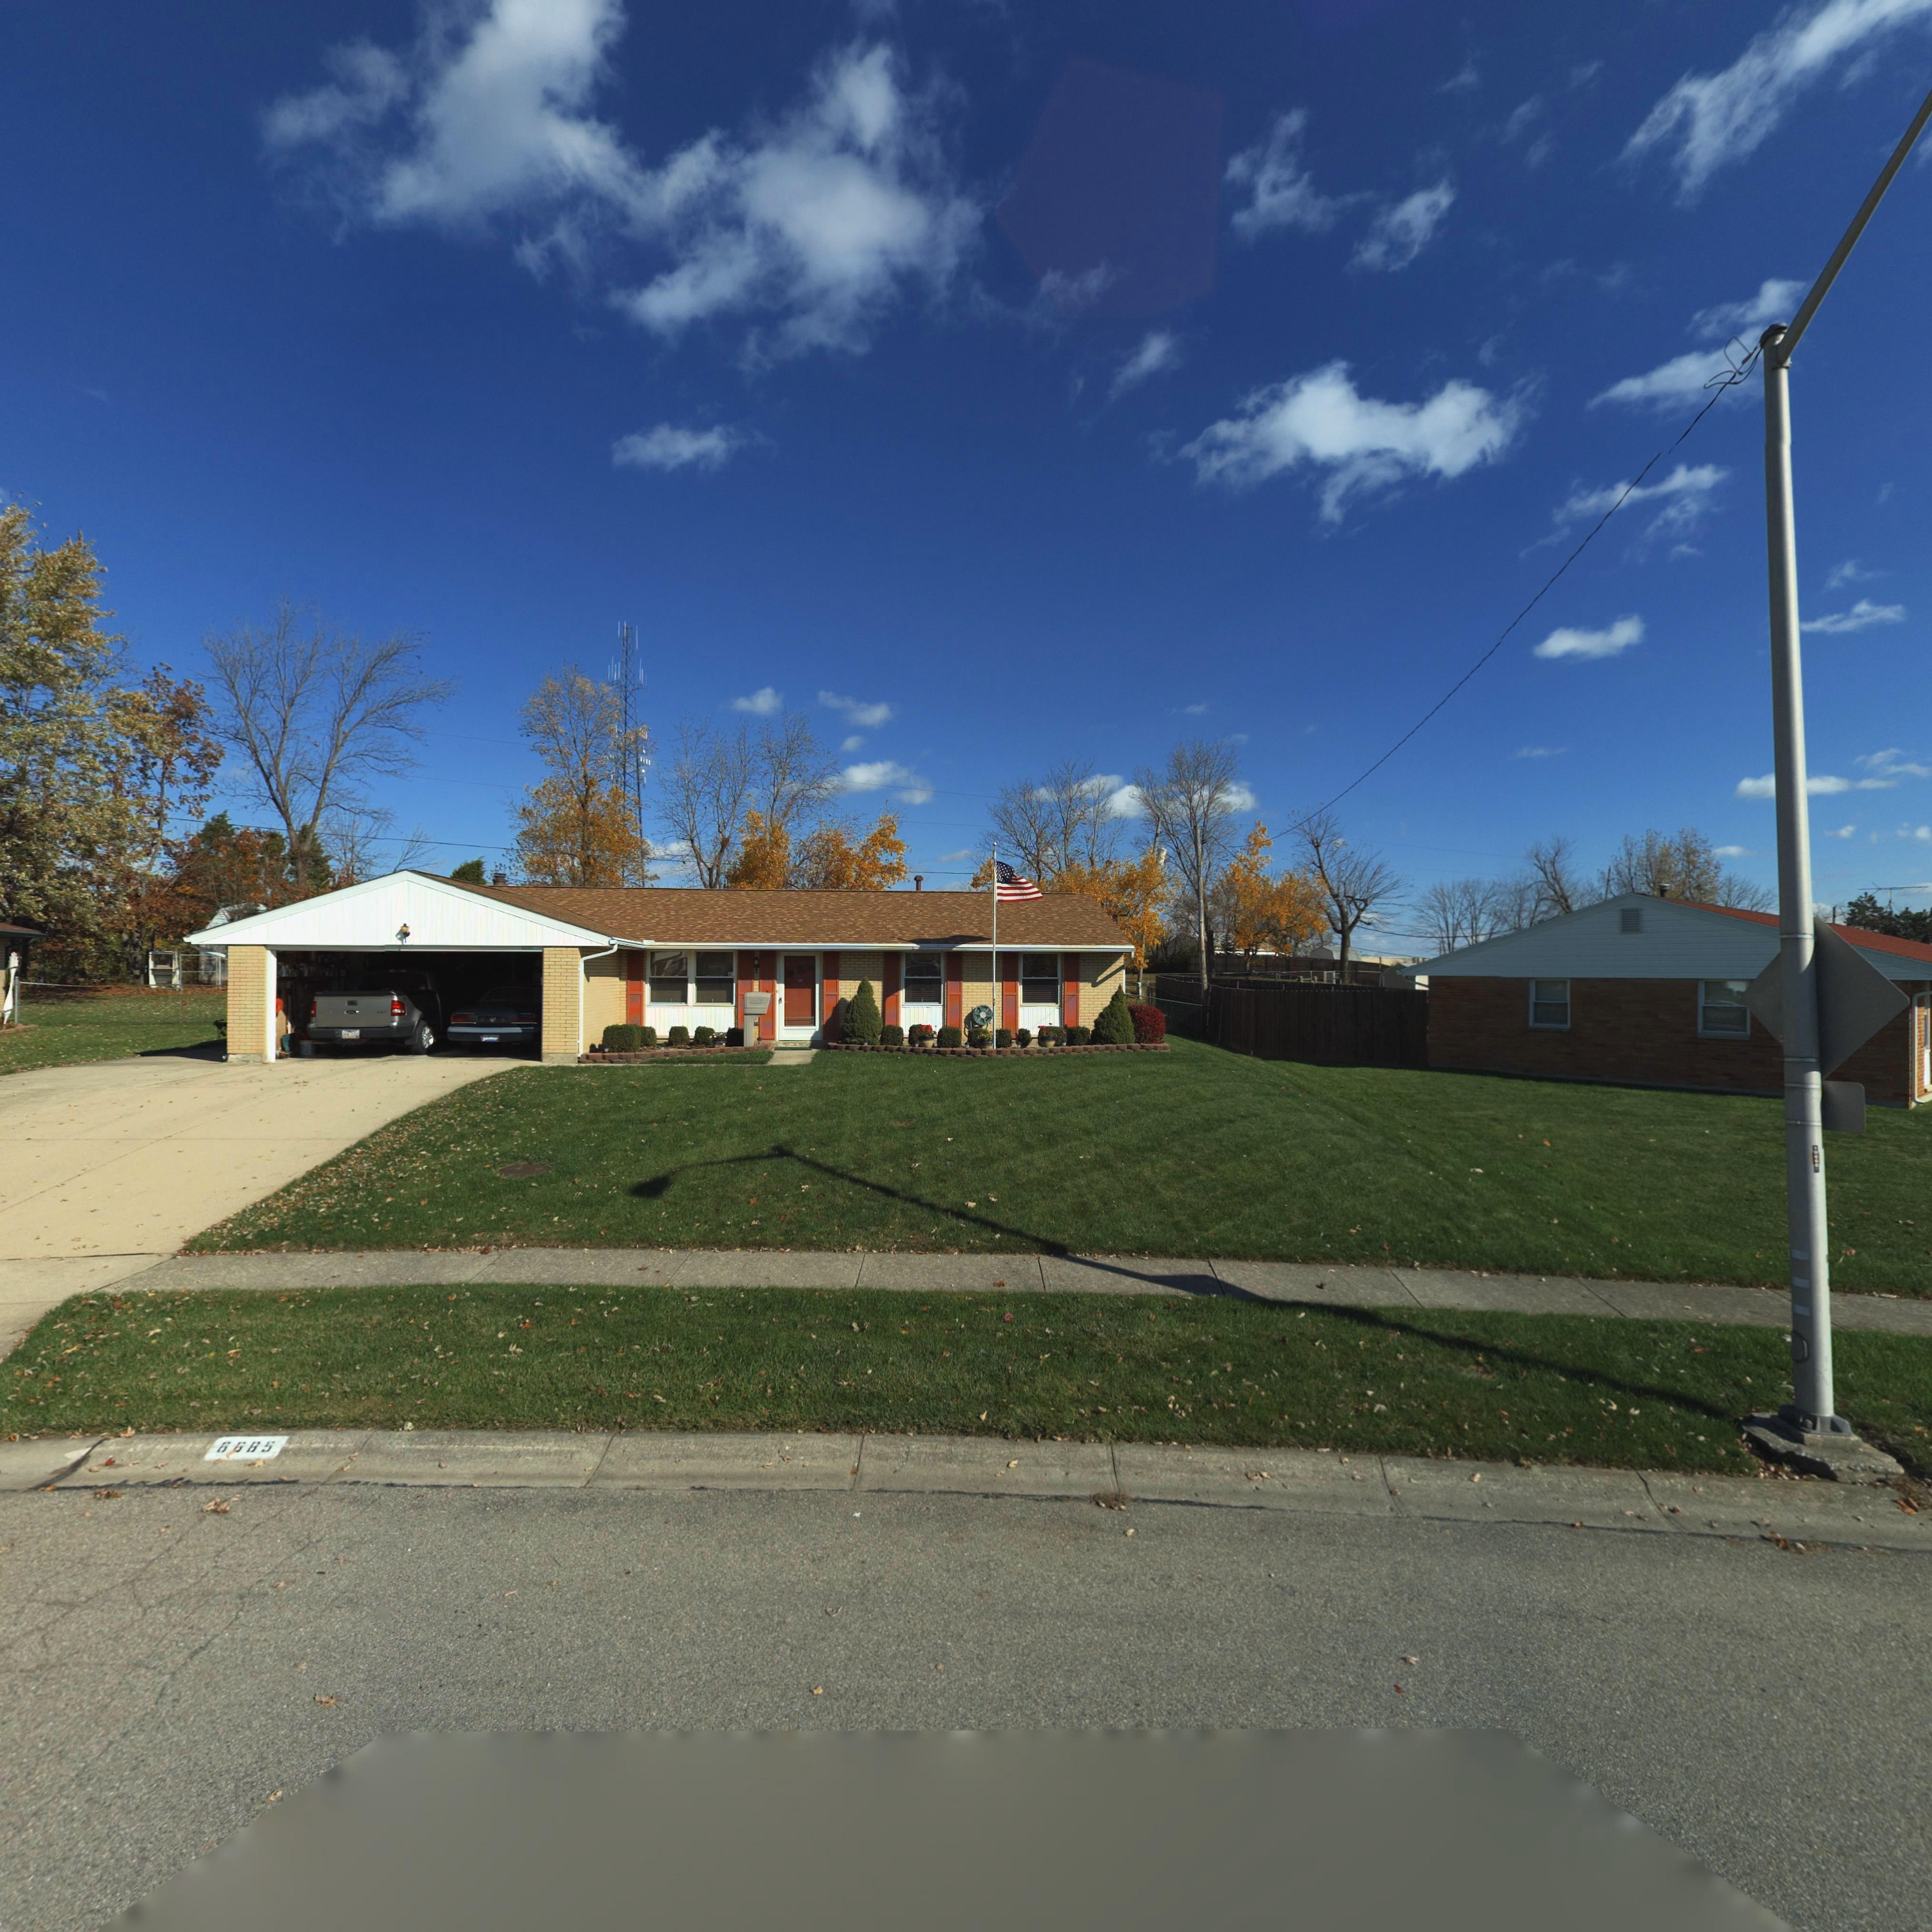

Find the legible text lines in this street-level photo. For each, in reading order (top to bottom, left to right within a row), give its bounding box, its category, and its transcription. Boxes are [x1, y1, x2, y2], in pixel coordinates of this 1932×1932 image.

[522, 945, 534, 950] StreetNumber: 6*85
[750, 998, 764, 1004] StreetNumber: 6685
[215, 1440, 276, 1453] StreetNumber: 6685